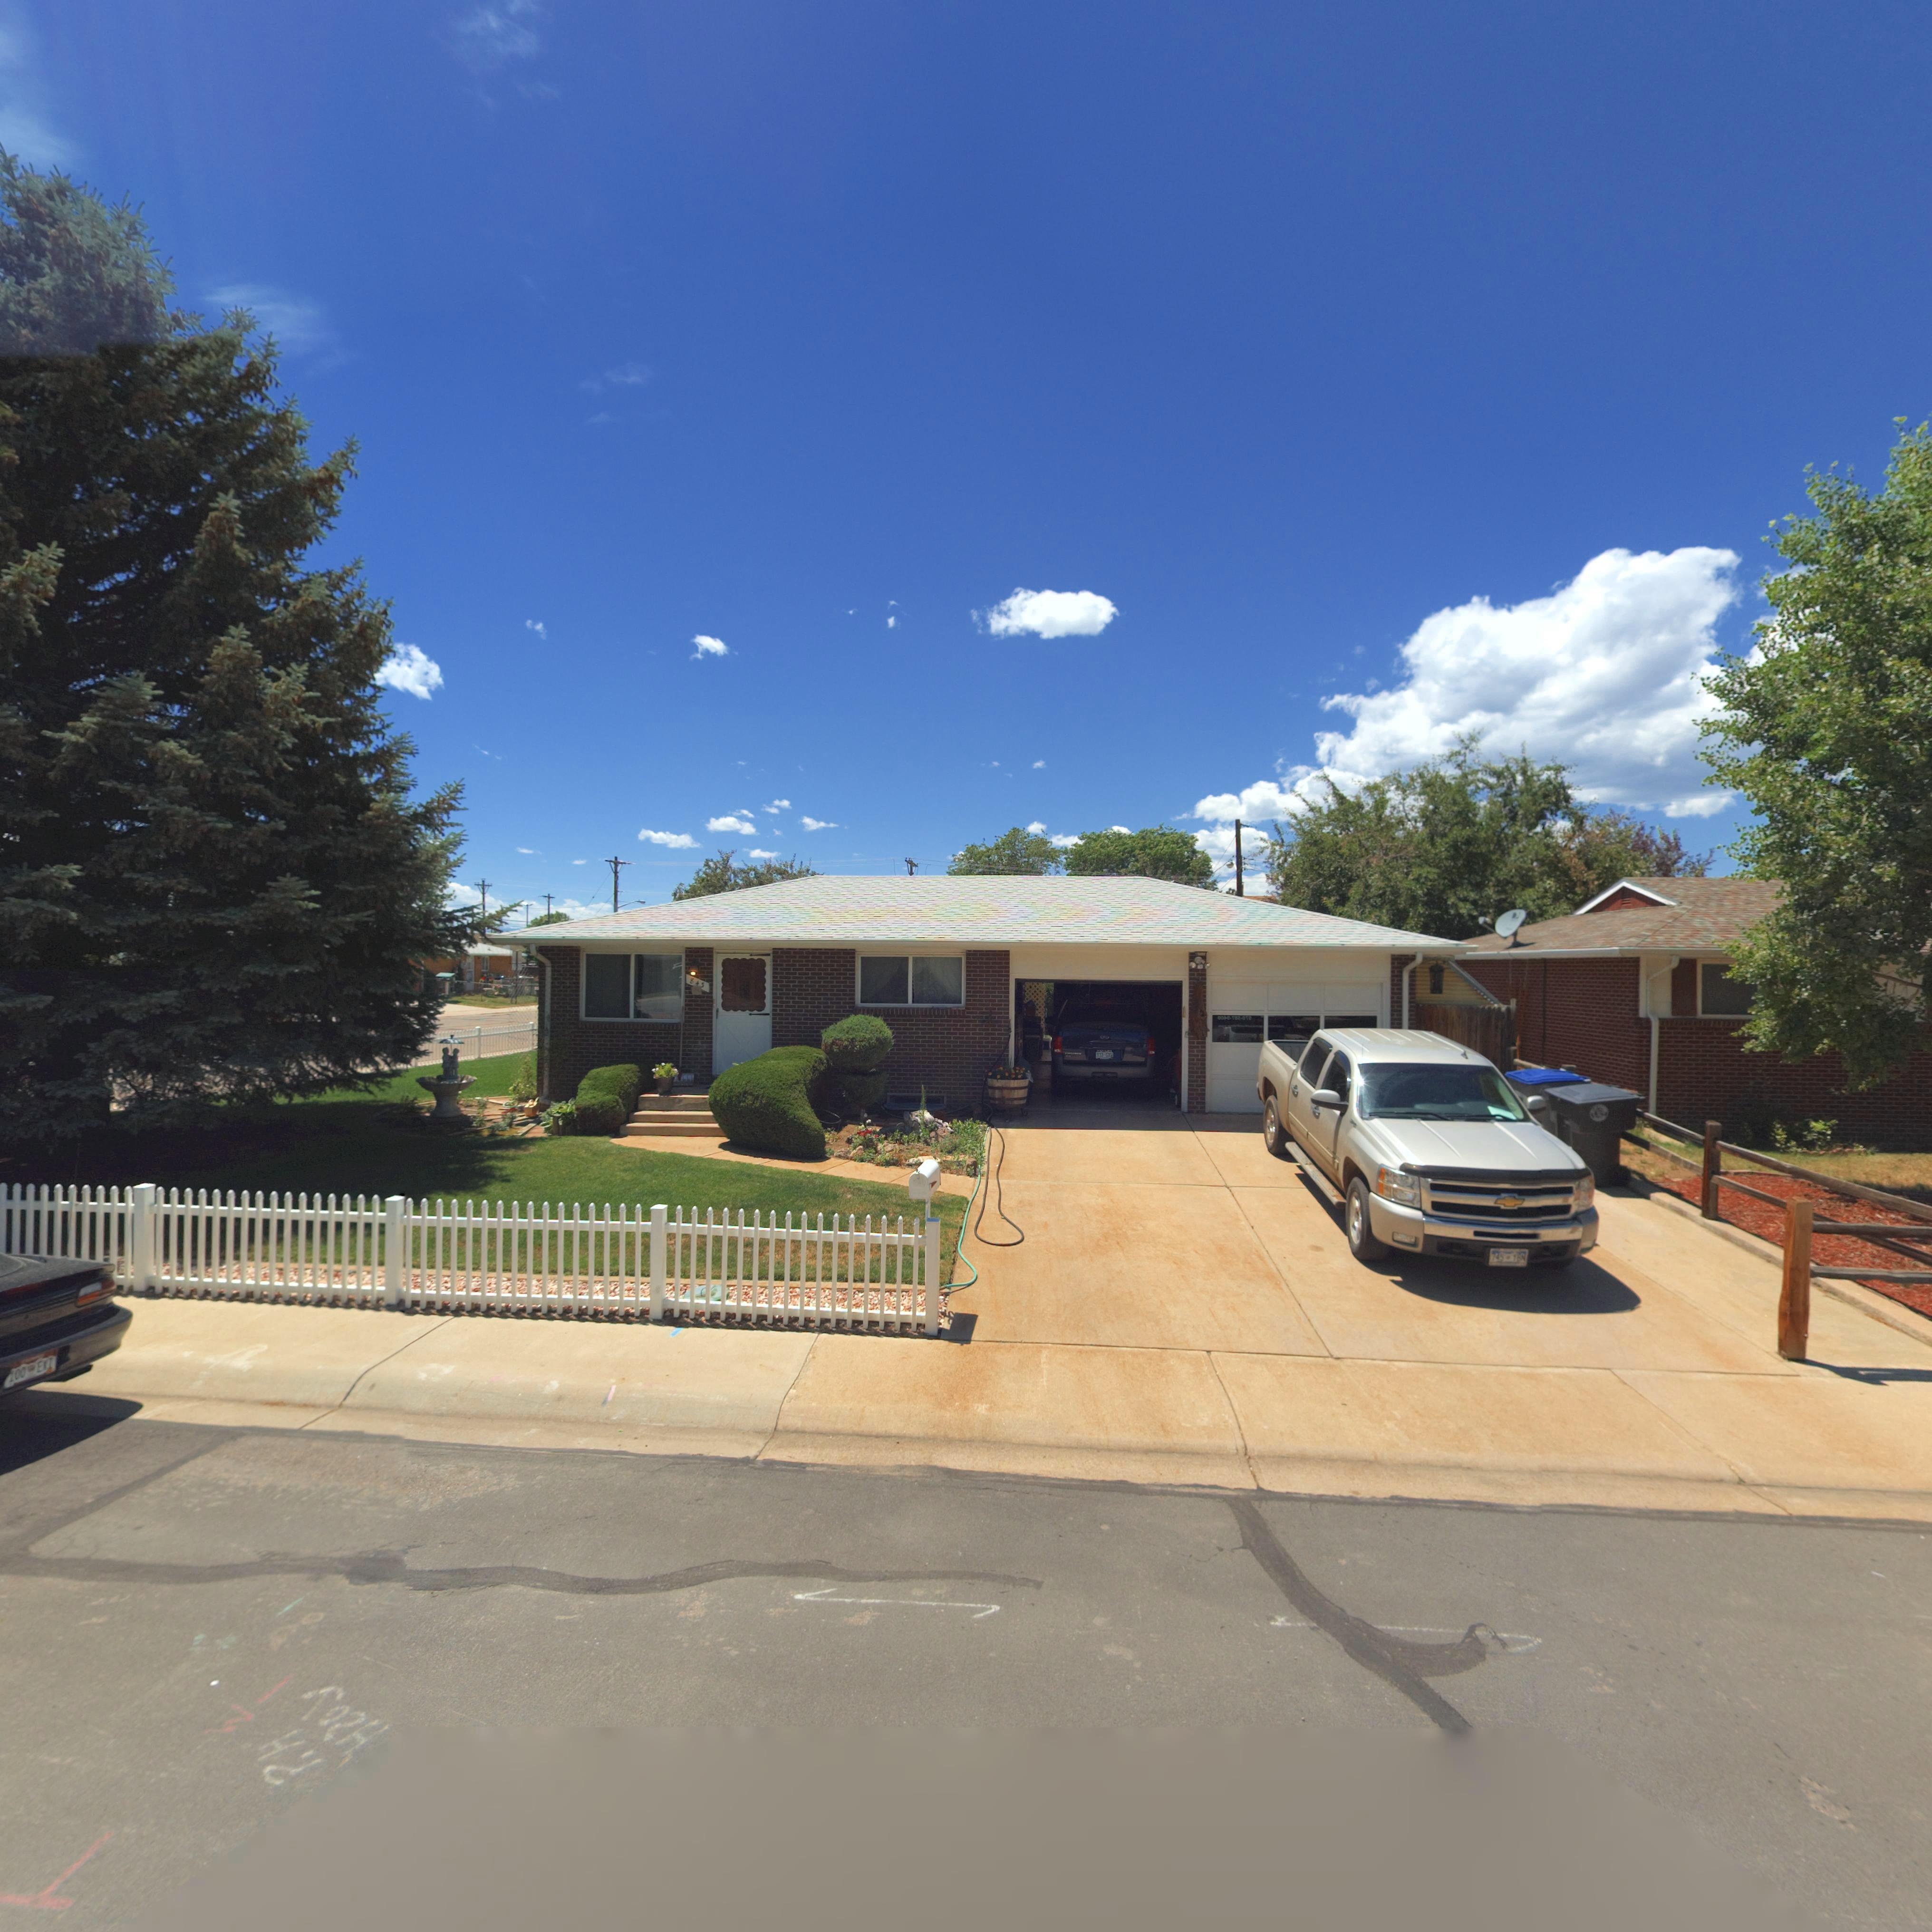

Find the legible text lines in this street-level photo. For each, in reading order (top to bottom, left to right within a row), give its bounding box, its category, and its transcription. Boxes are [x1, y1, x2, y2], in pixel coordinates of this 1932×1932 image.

[690, 978, 705, 988] StreetNumber: 843